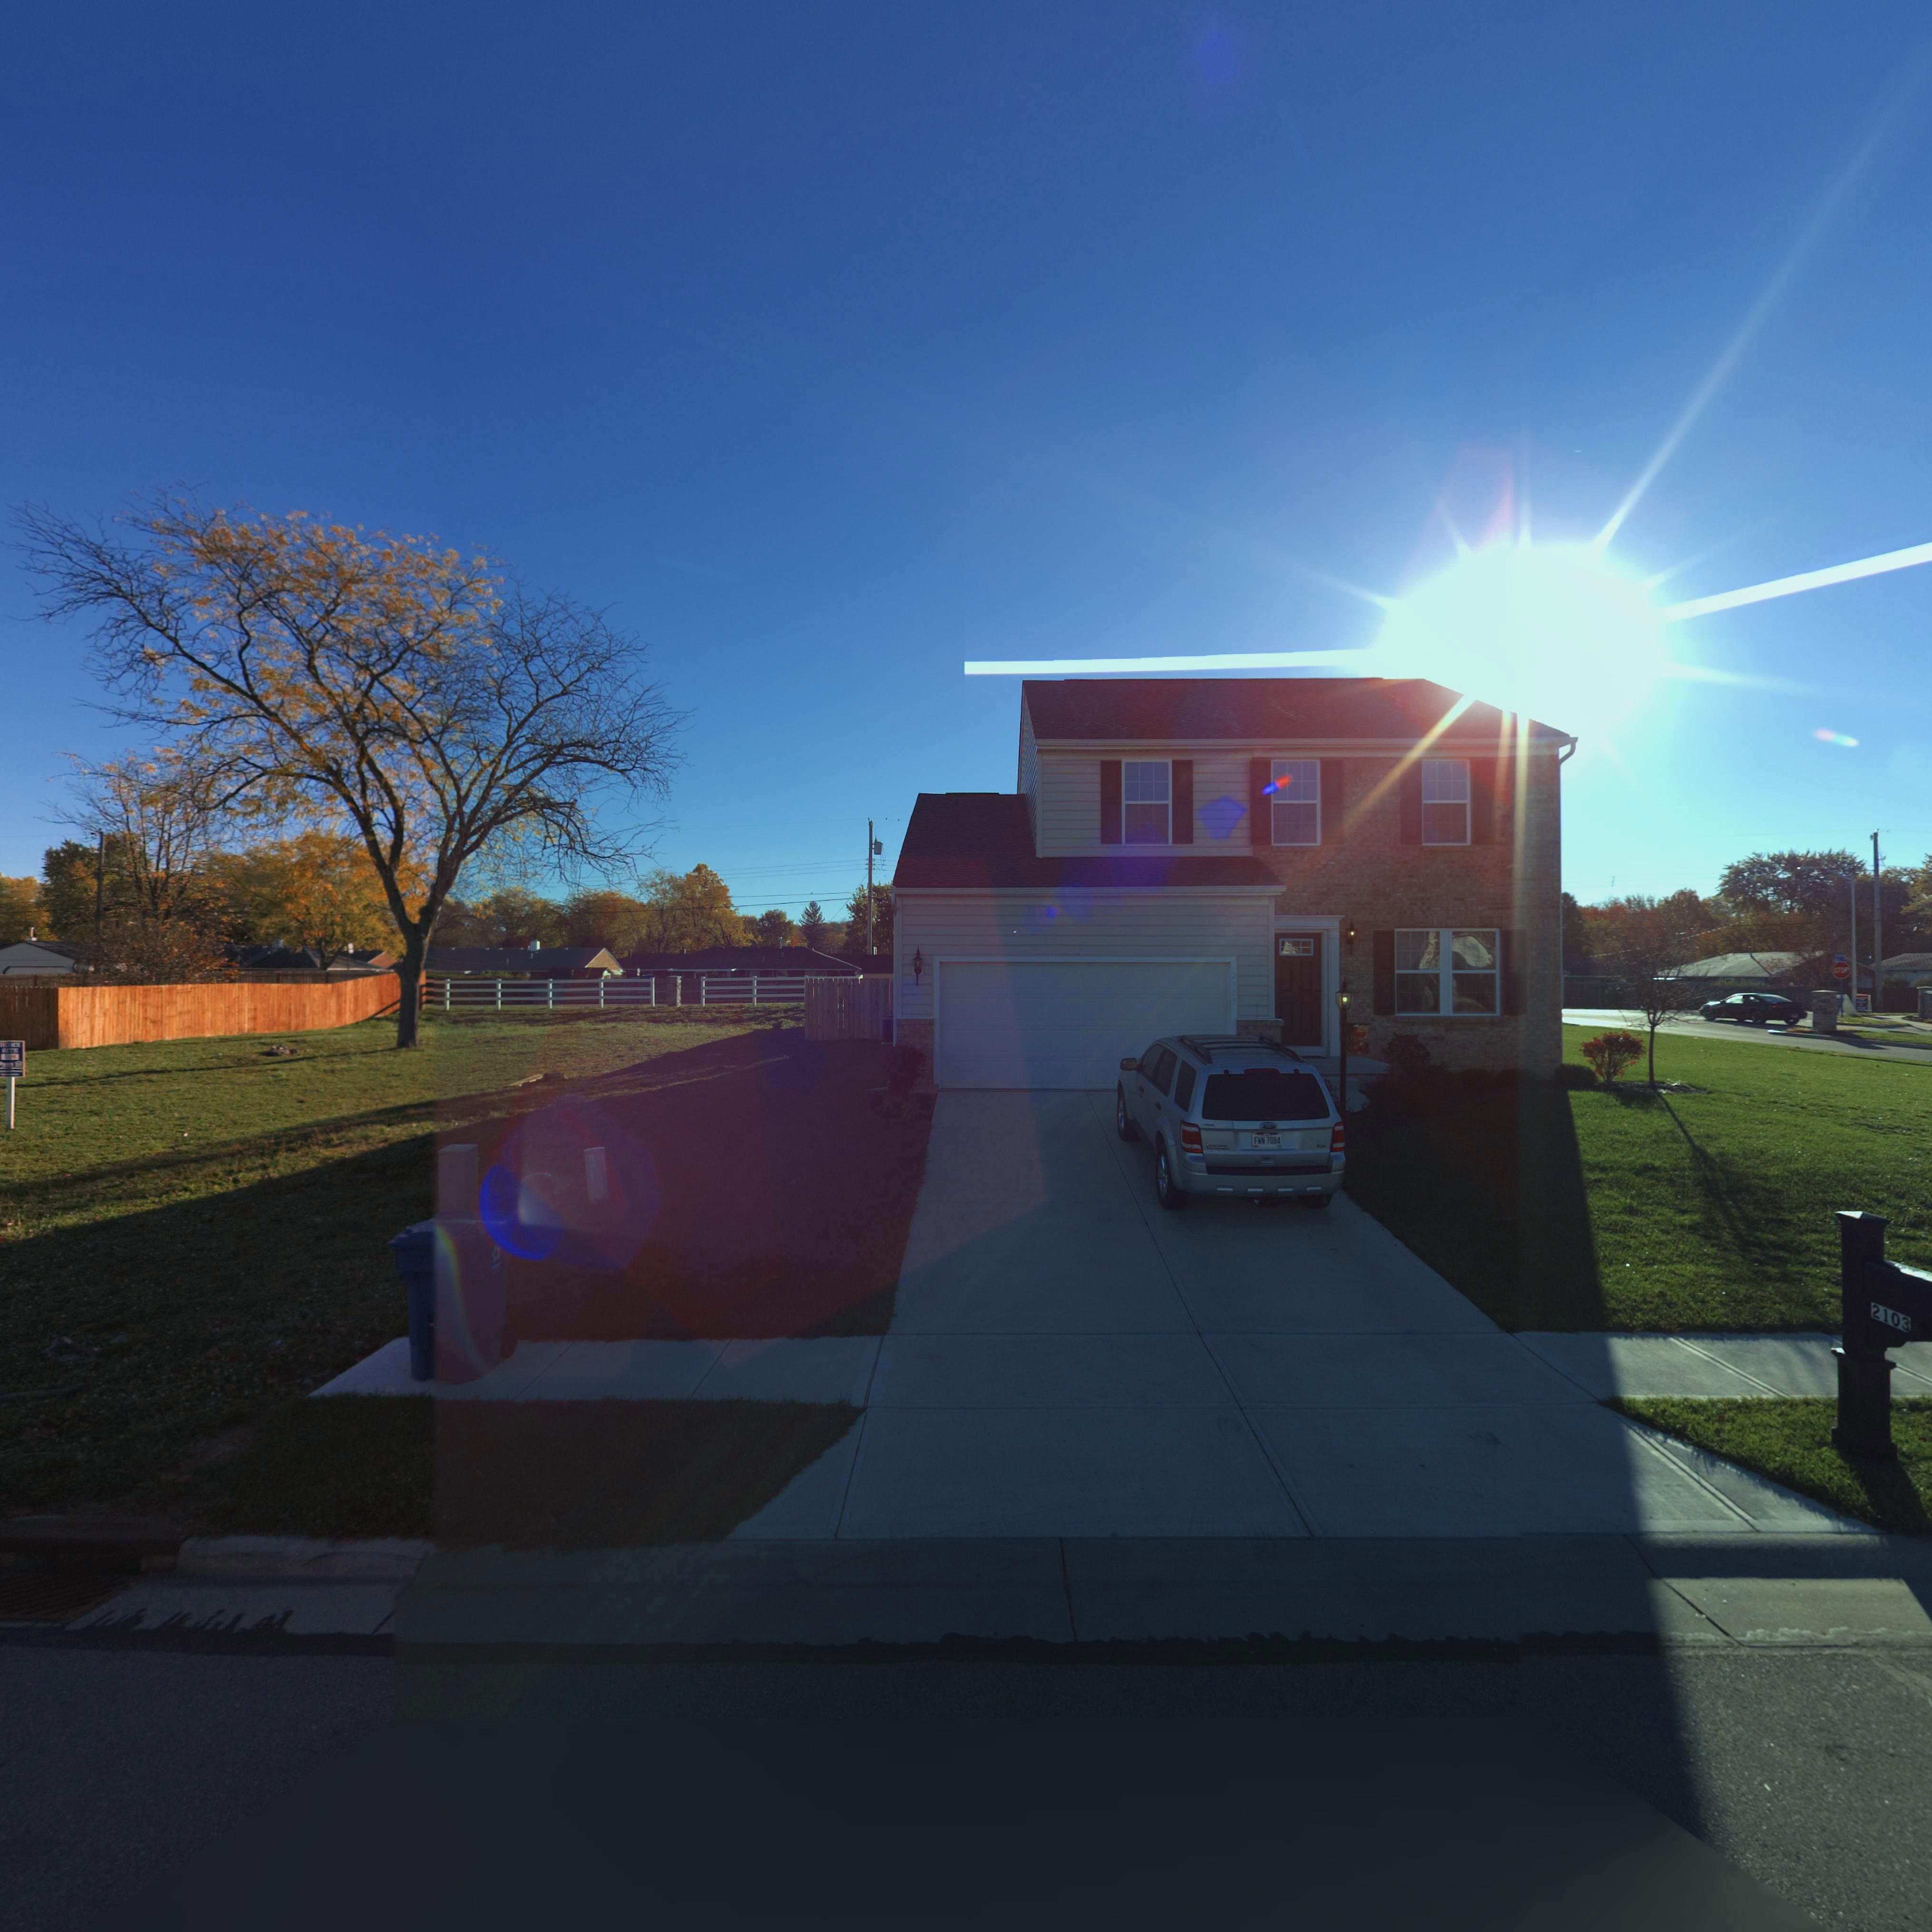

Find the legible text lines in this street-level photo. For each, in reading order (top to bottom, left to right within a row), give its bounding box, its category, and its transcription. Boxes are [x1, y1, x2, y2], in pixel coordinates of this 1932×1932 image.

[1871, 1303, 1910, 1332] StreetNumber: 2103